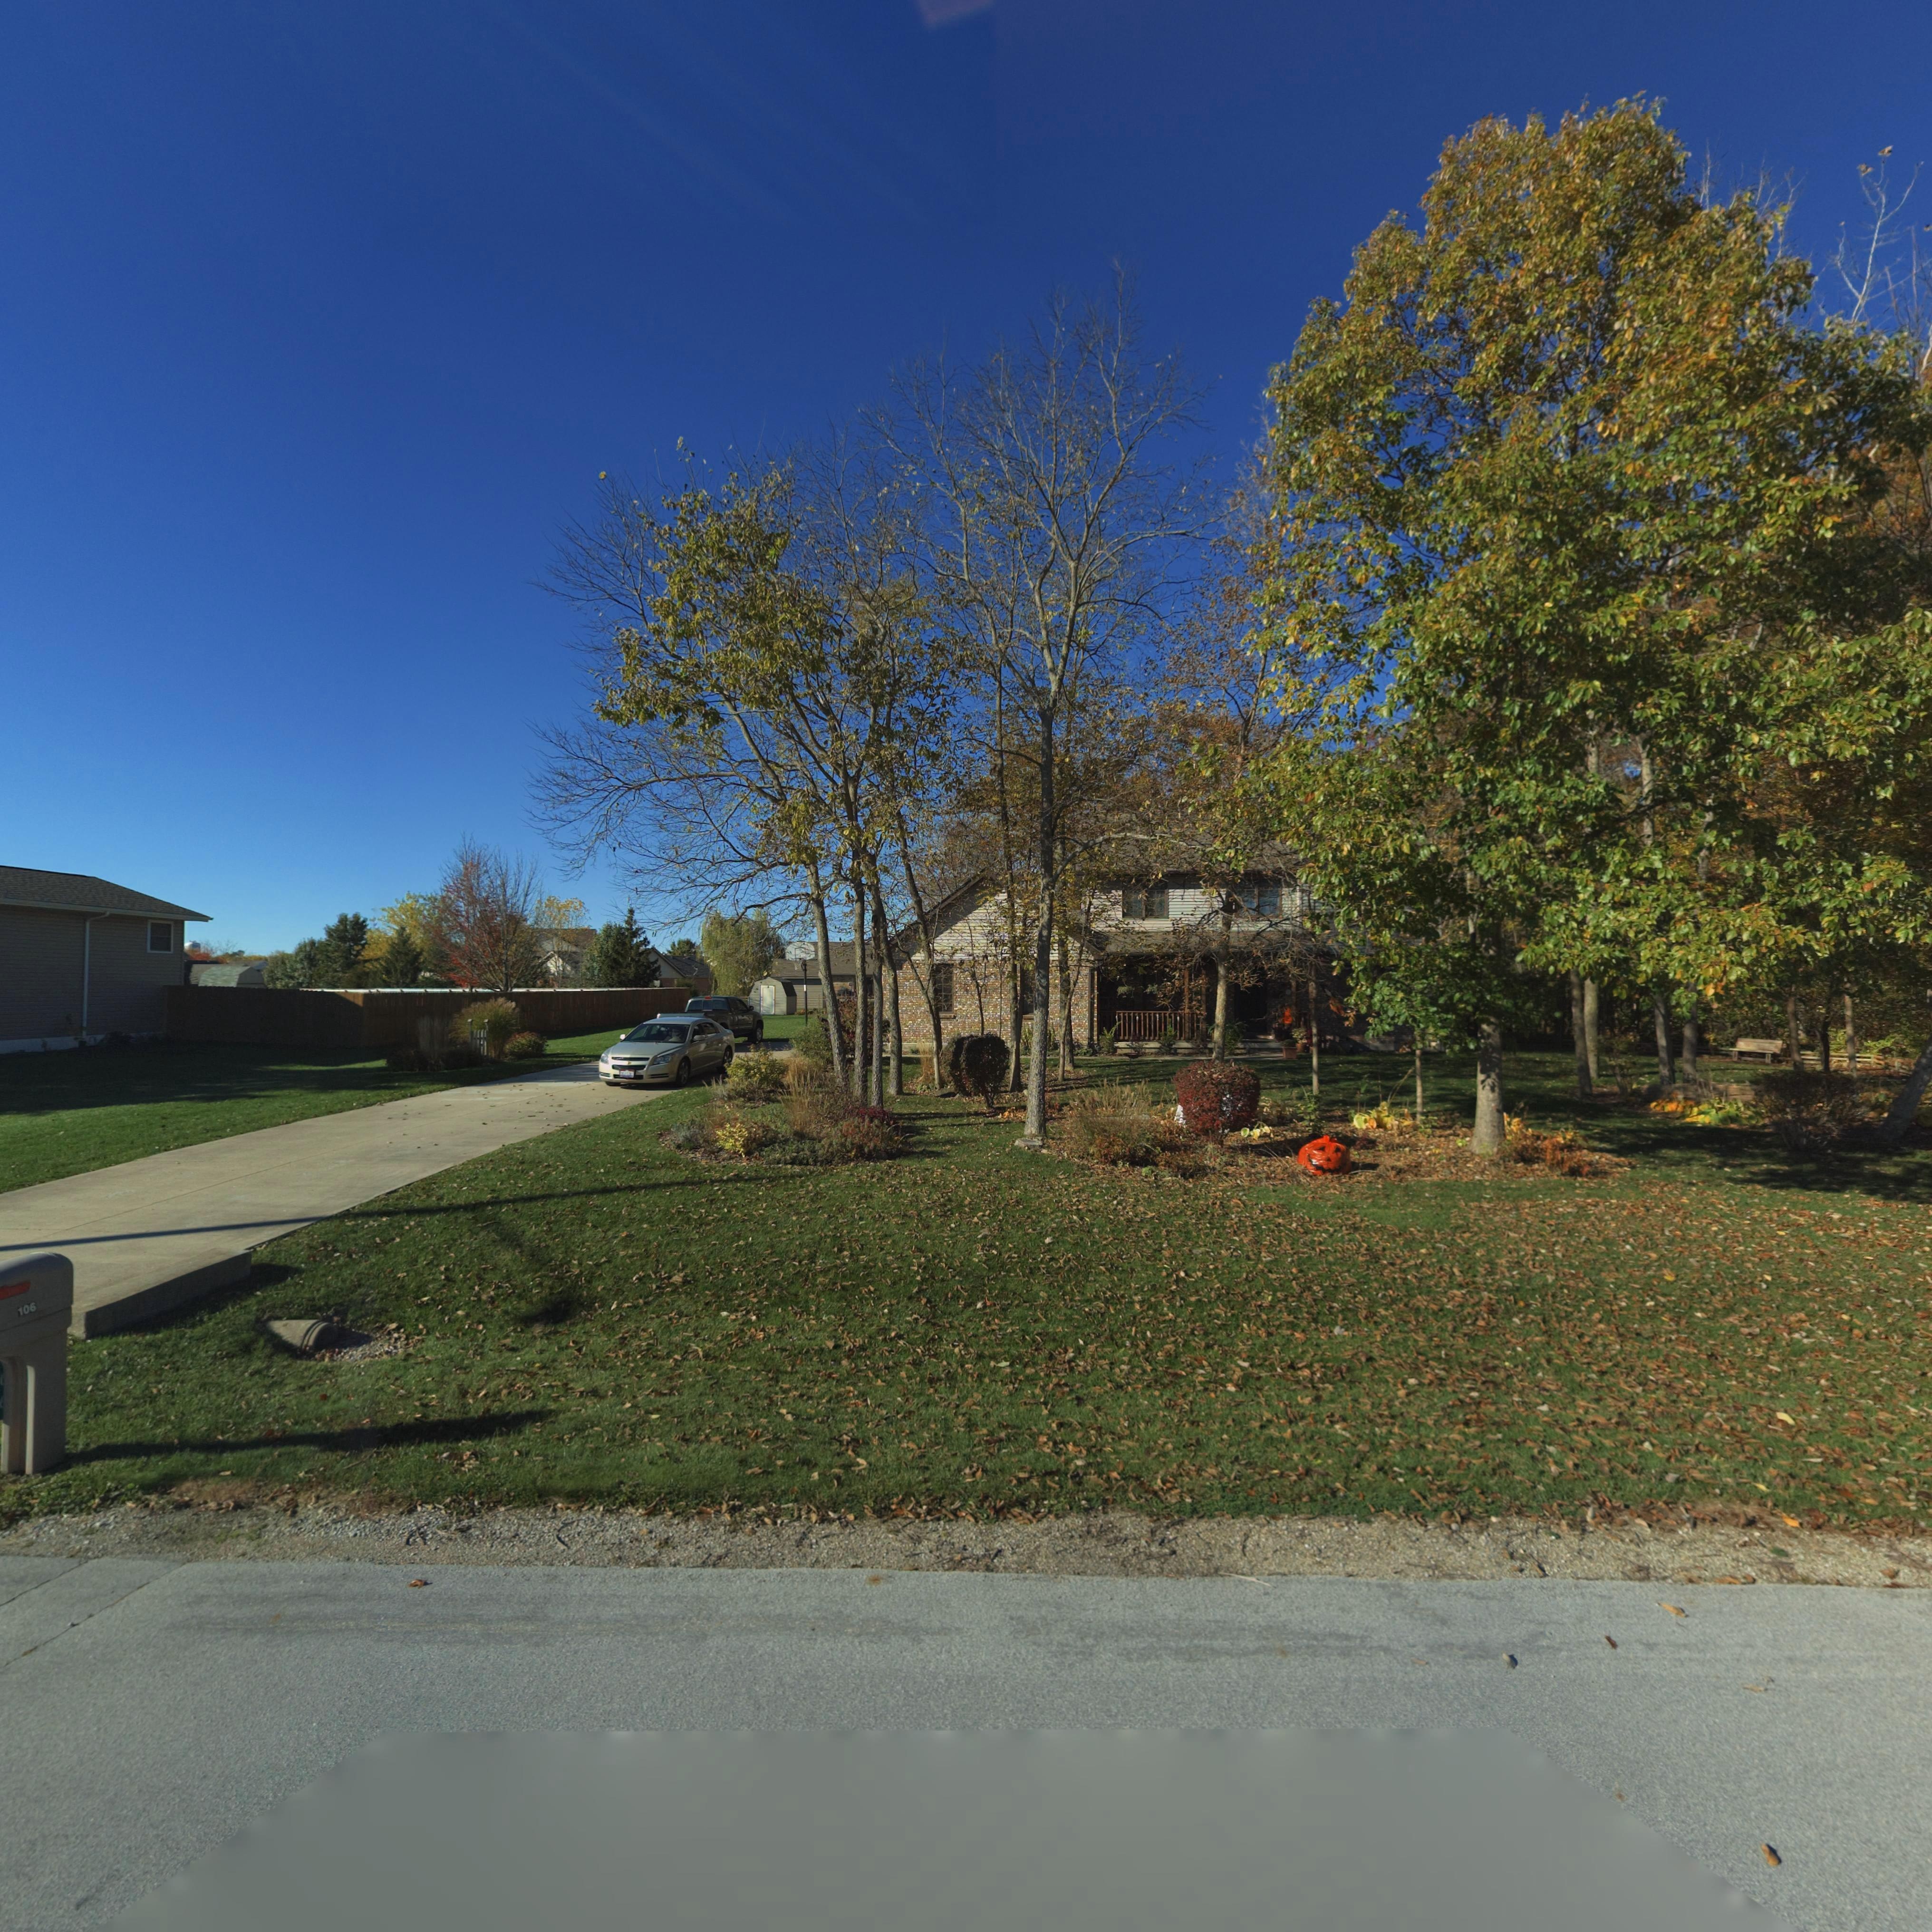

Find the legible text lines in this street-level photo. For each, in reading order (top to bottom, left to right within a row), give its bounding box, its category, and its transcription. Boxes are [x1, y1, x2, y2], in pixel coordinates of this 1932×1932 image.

[17, 1301, 37, 1317] StreetNumber: 106